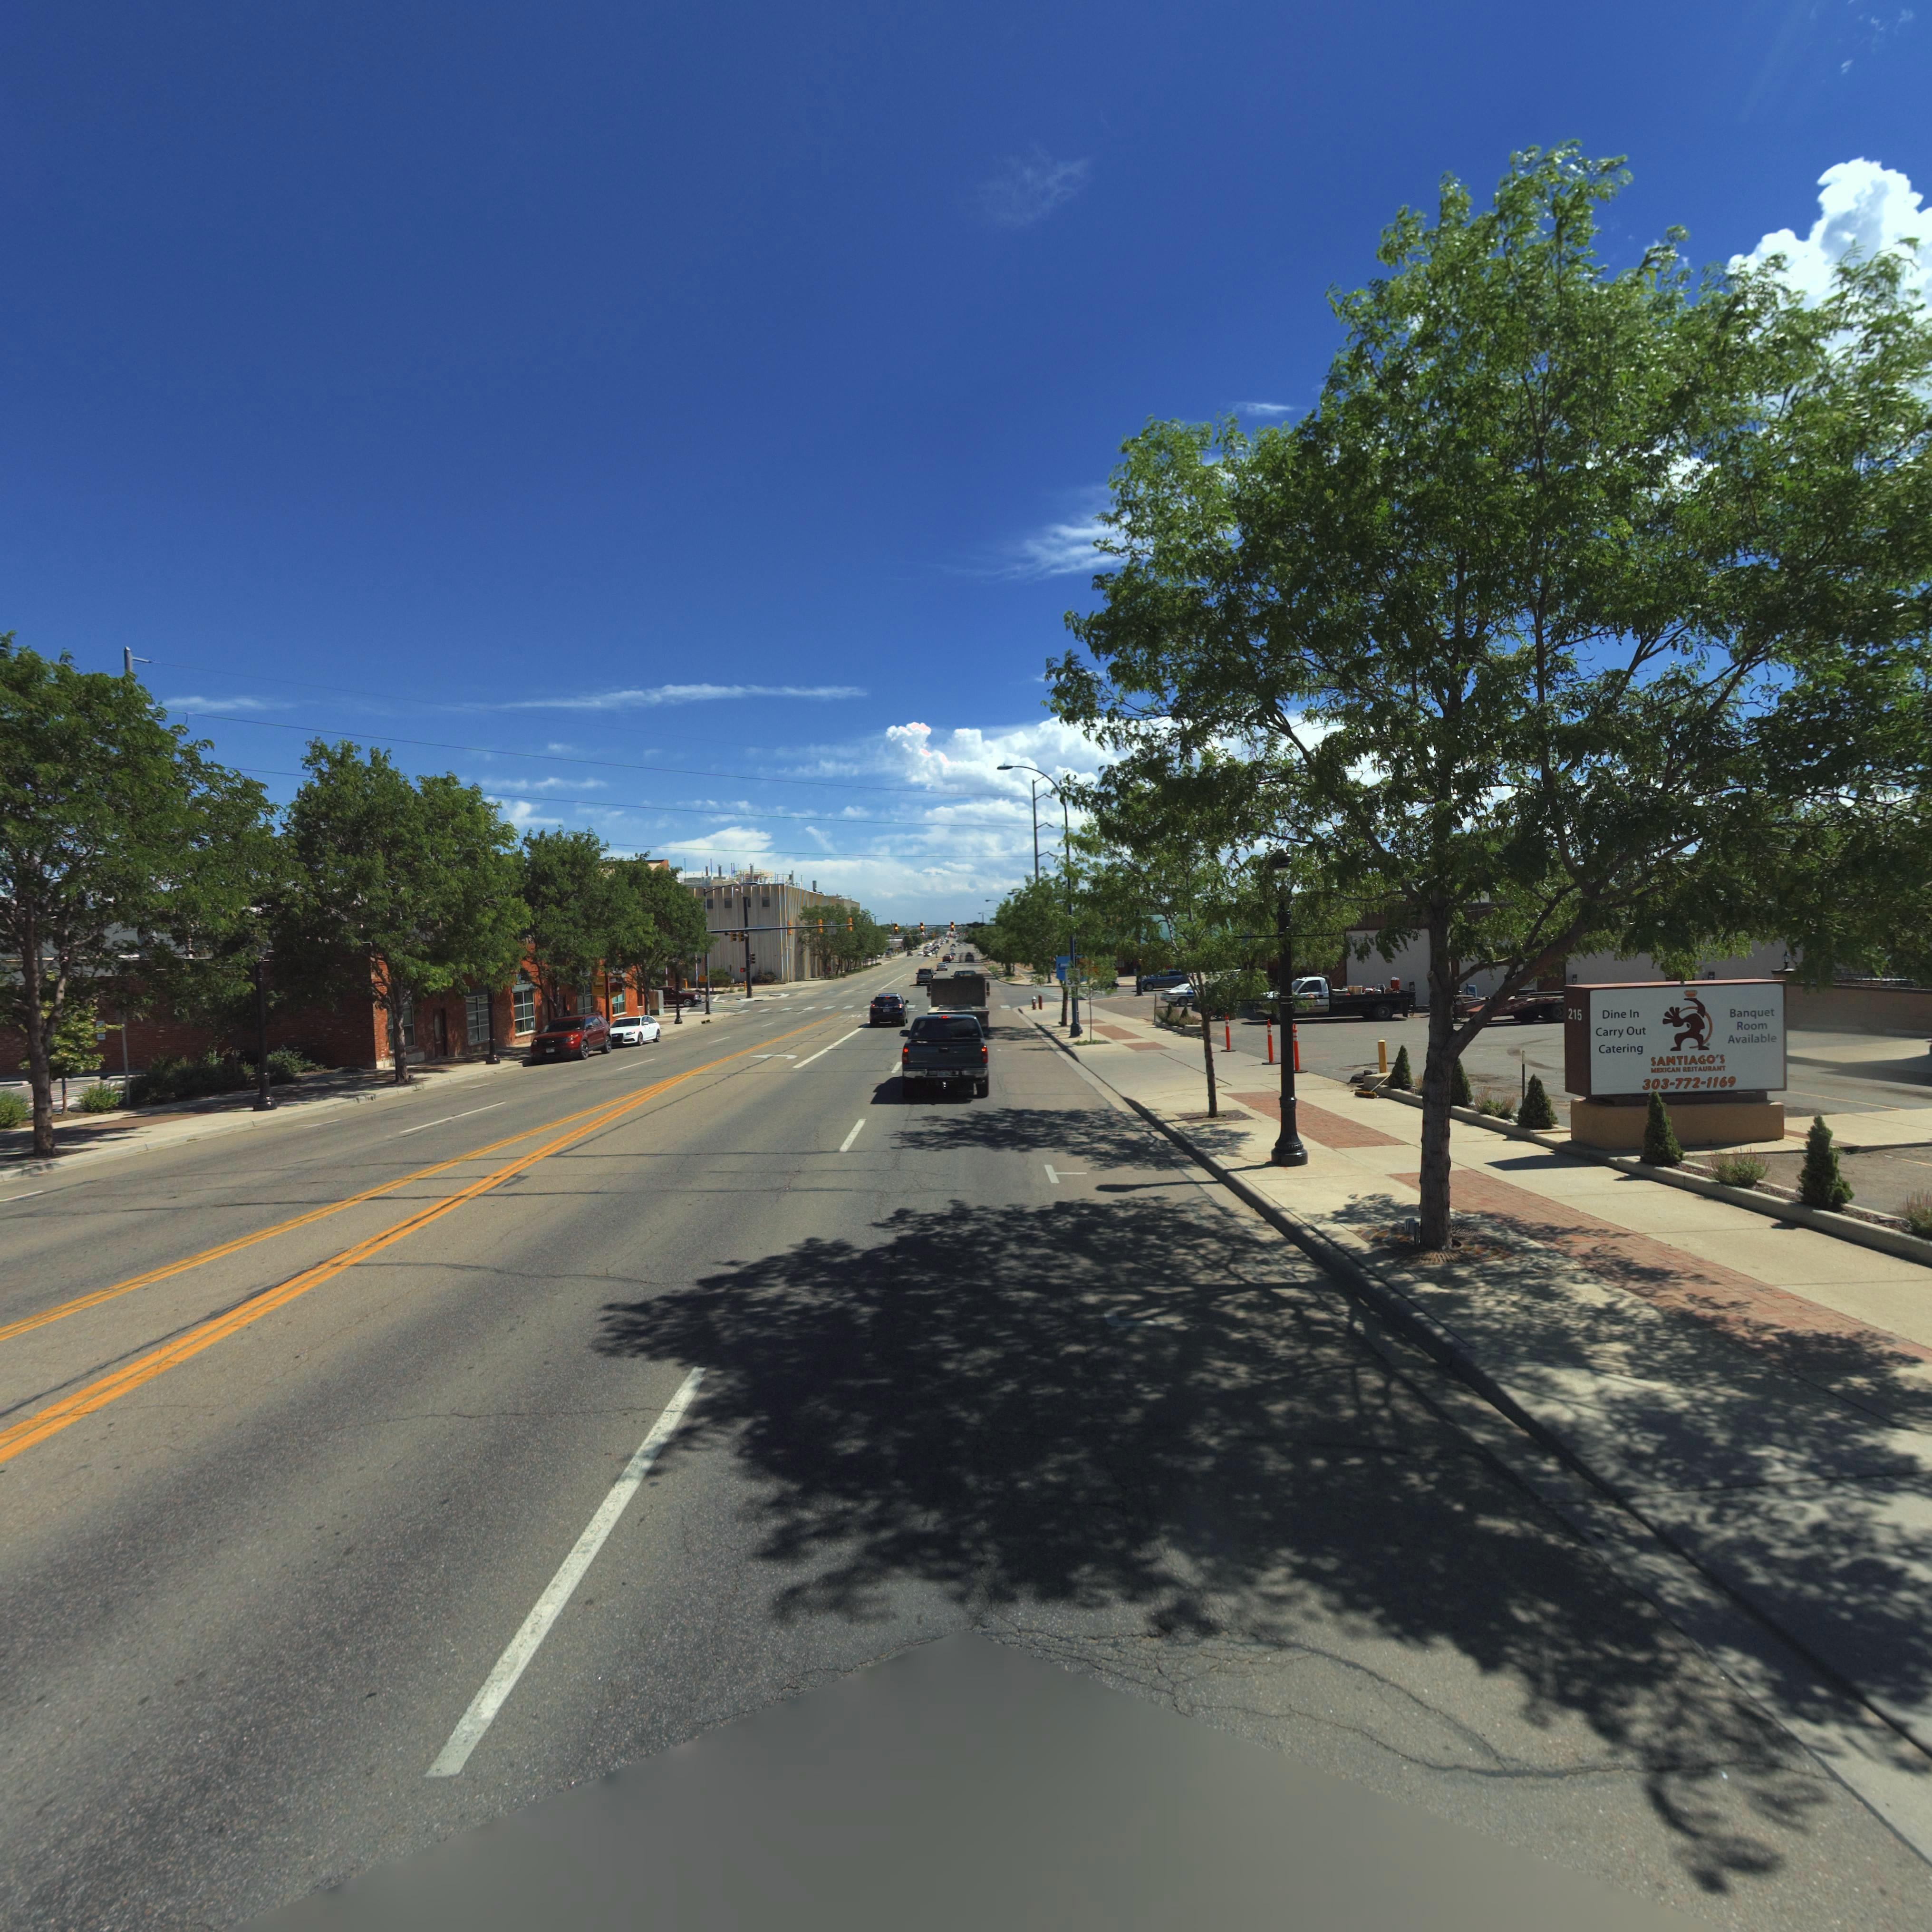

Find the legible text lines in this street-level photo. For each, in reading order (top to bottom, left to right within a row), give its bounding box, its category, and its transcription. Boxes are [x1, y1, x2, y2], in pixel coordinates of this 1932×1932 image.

[1563, 1004, 1582, 1023] StreetNumber: 215
[1730, 1009, 1774, 1018] BusinessName: Banquet
[1599, 1045, 1642, 1054] BusinessName: Catering